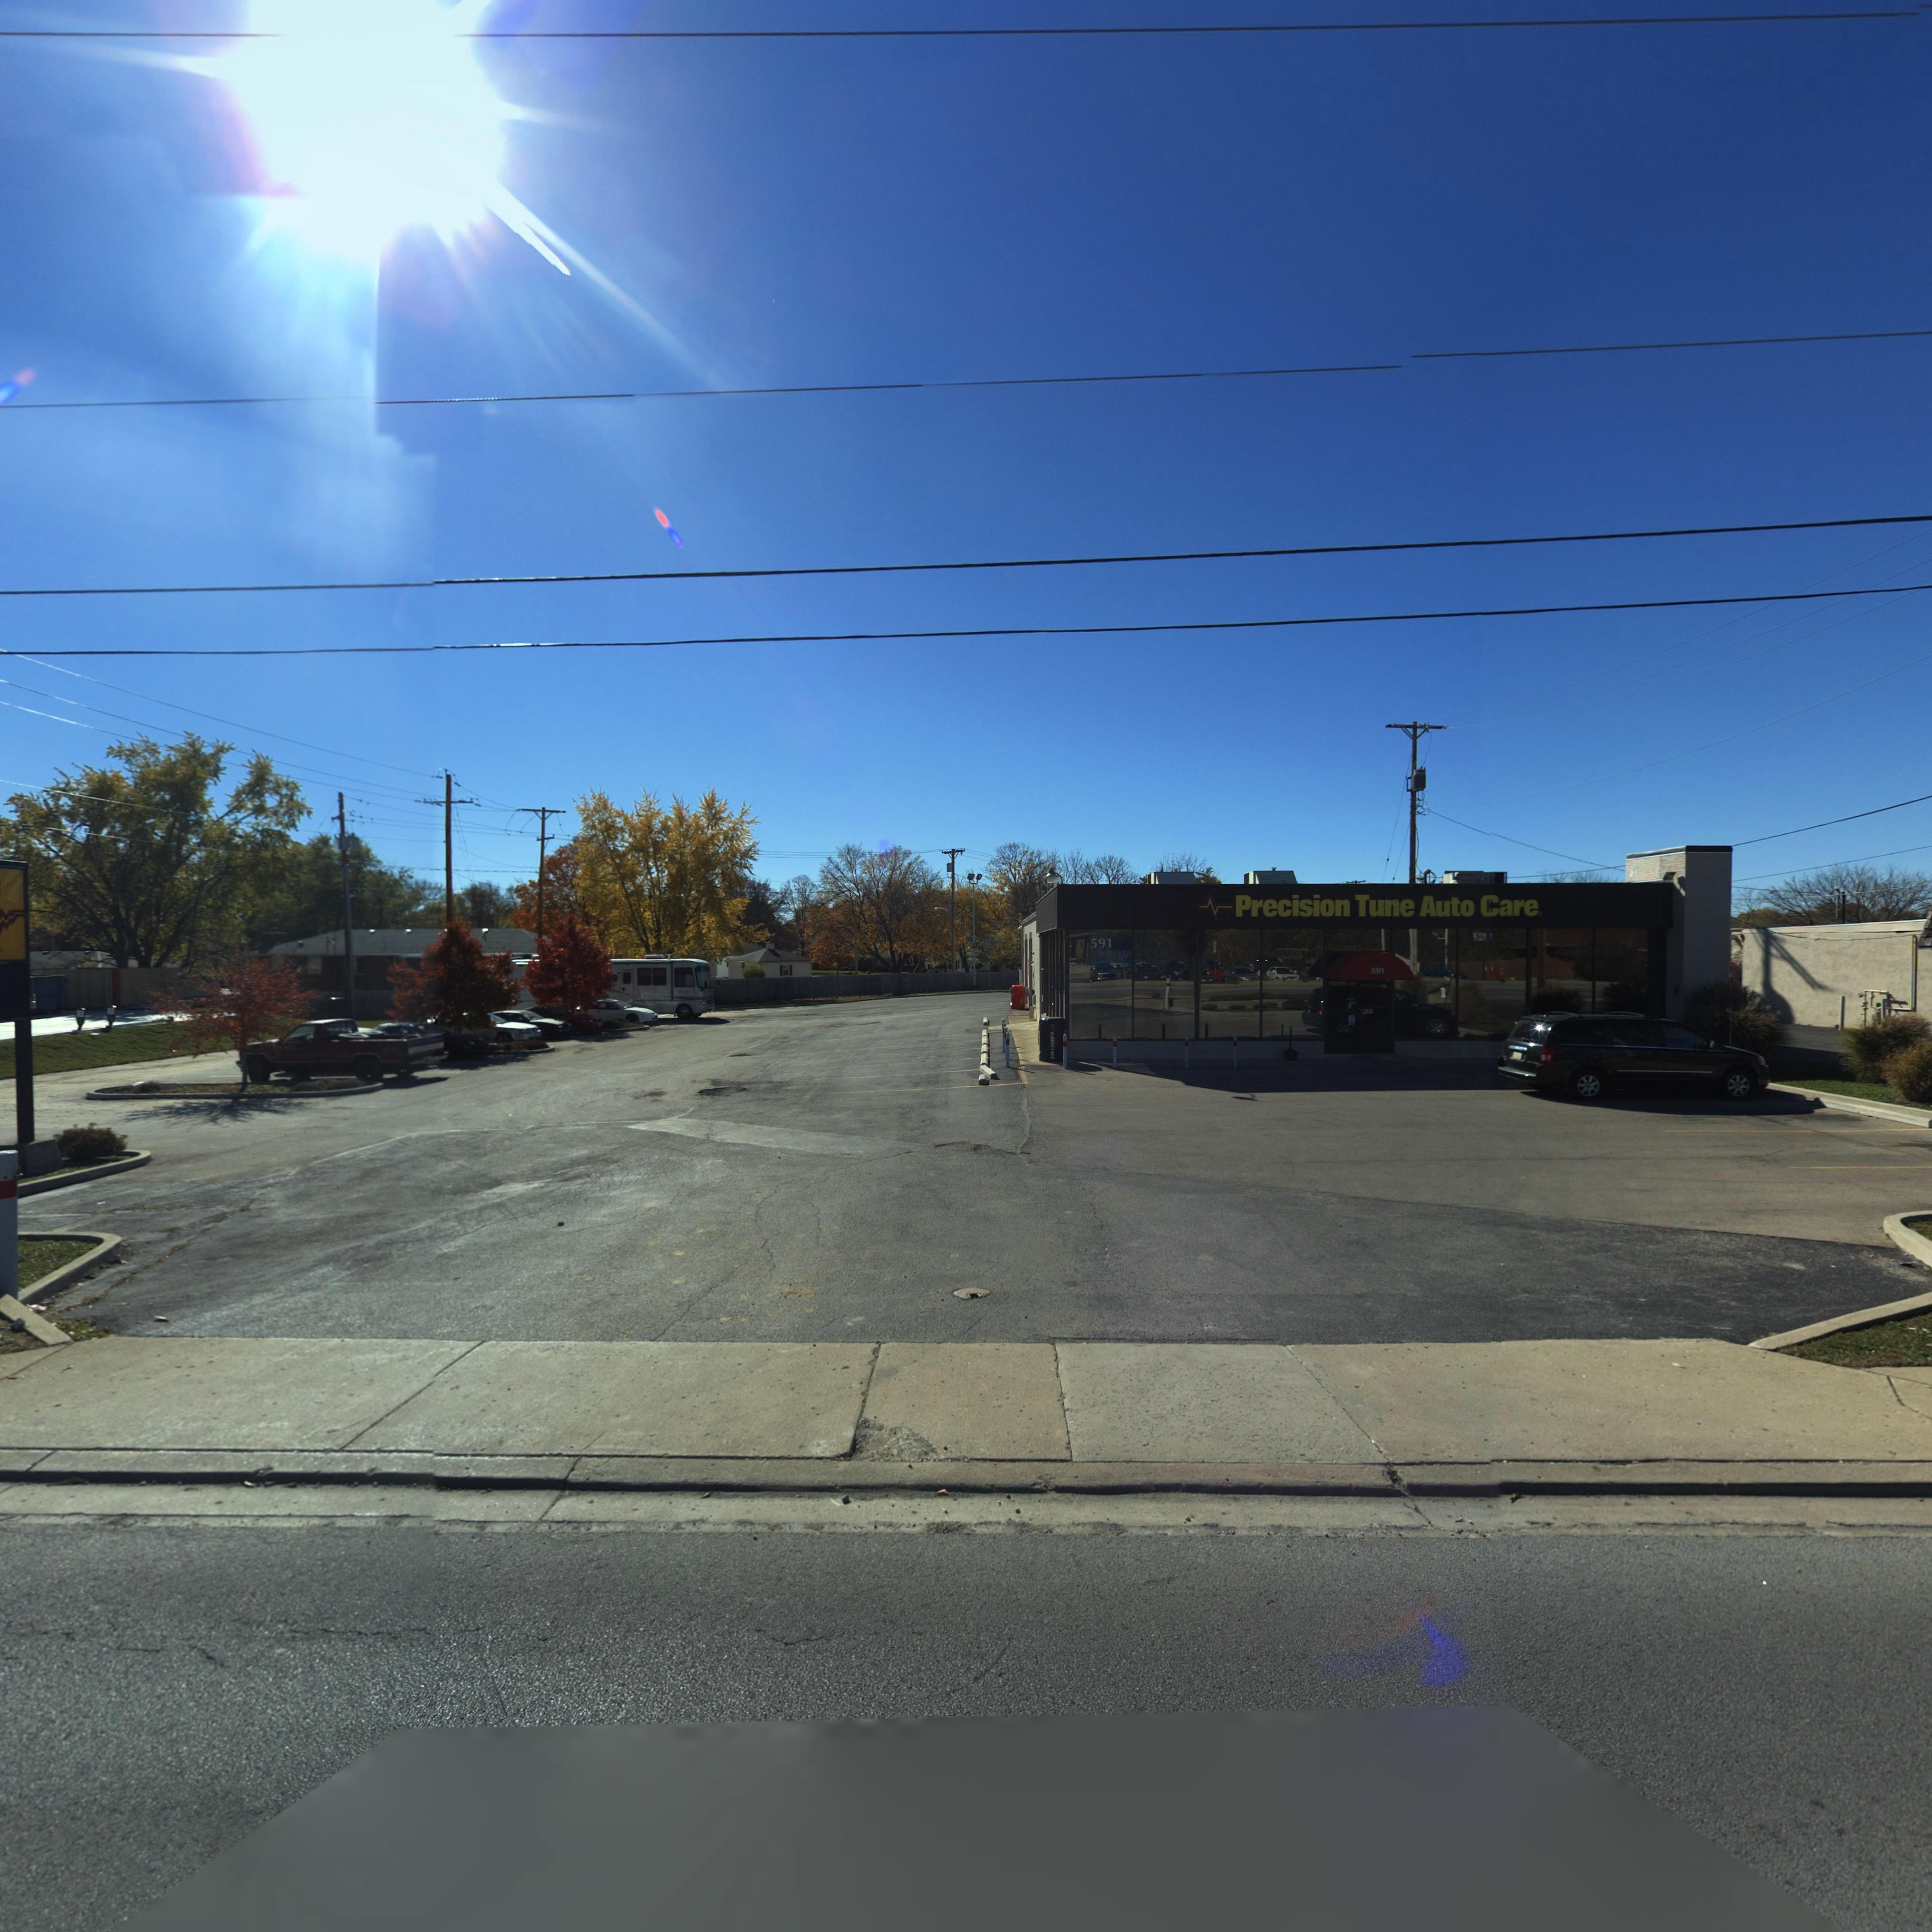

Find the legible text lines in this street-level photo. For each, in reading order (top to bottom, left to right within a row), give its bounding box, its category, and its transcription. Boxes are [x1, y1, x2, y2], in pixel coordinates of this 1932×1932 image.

[1234, 894, 1540, 918] BusinessName: Precision Tune Auto *are
[1090, 937, 1112, 949] StreetNumber: 591
[1370, 966, 1385, 975] StreetNumber: 591